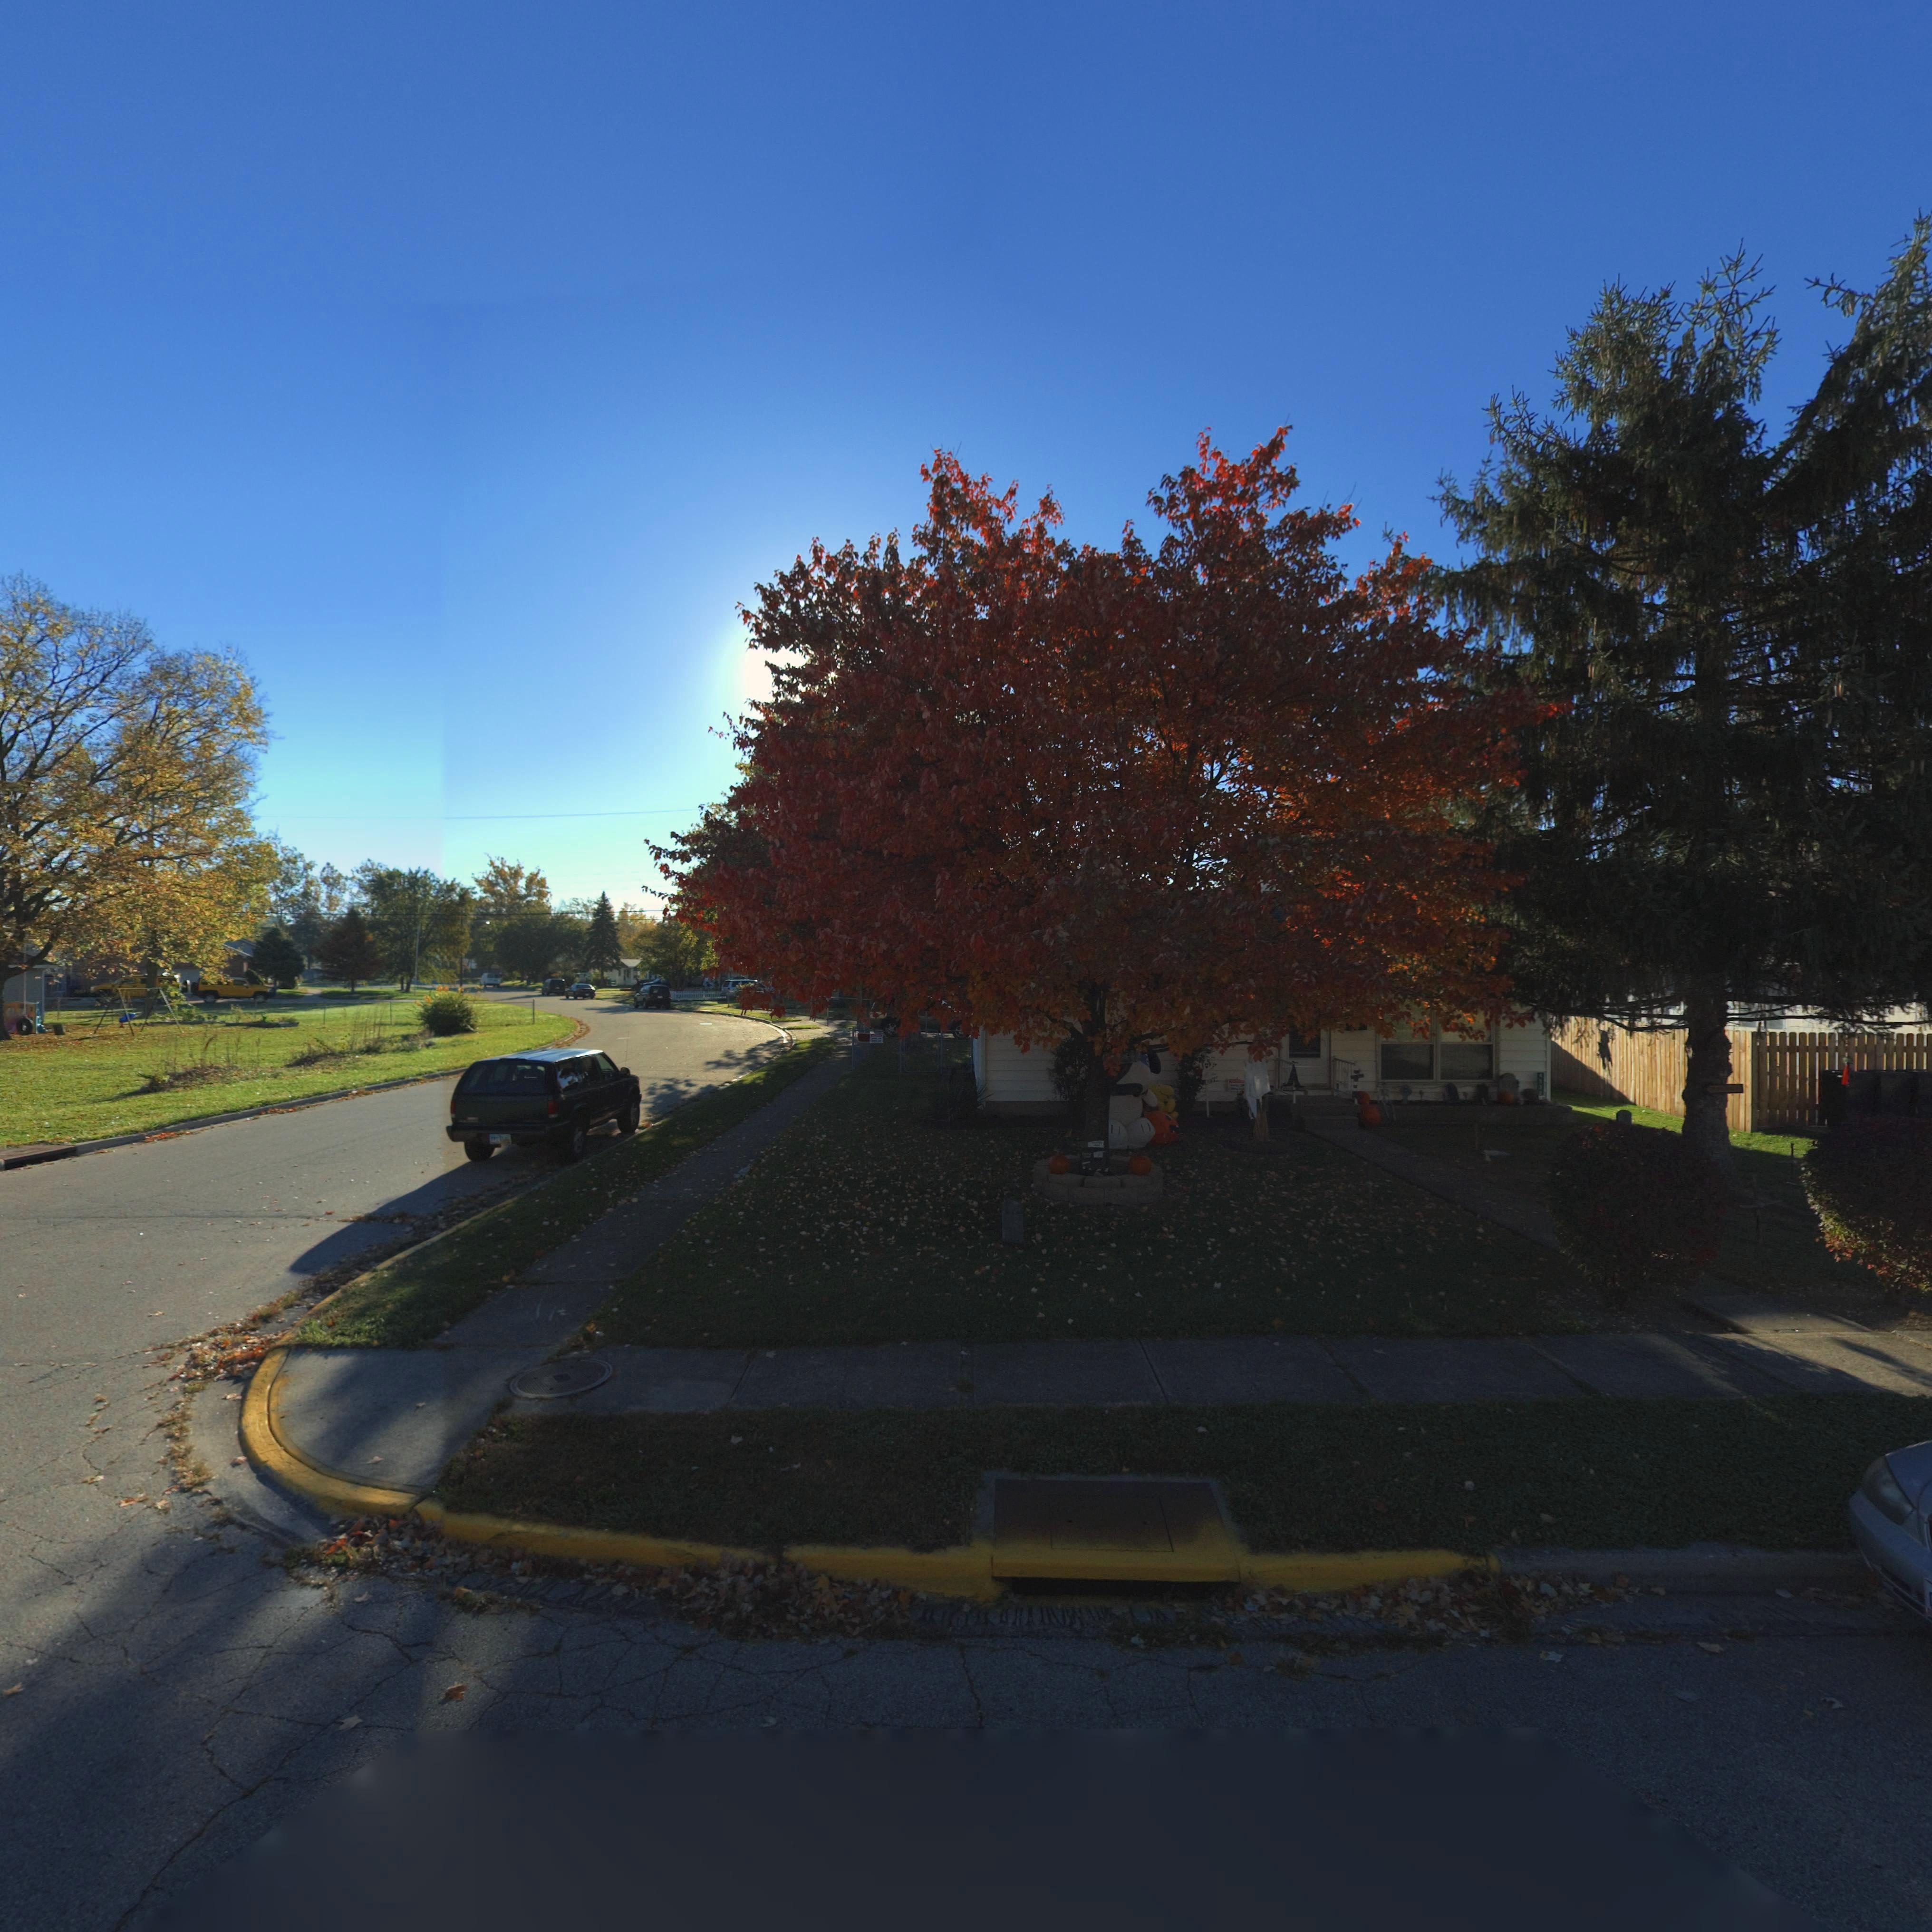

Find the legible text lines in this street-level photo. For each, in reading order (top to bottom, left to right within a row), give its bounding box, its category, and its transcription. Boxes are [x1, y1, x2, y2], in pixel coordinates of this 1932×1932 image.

[1538, 1072, 1543, 1096] StreetNumber: 4532